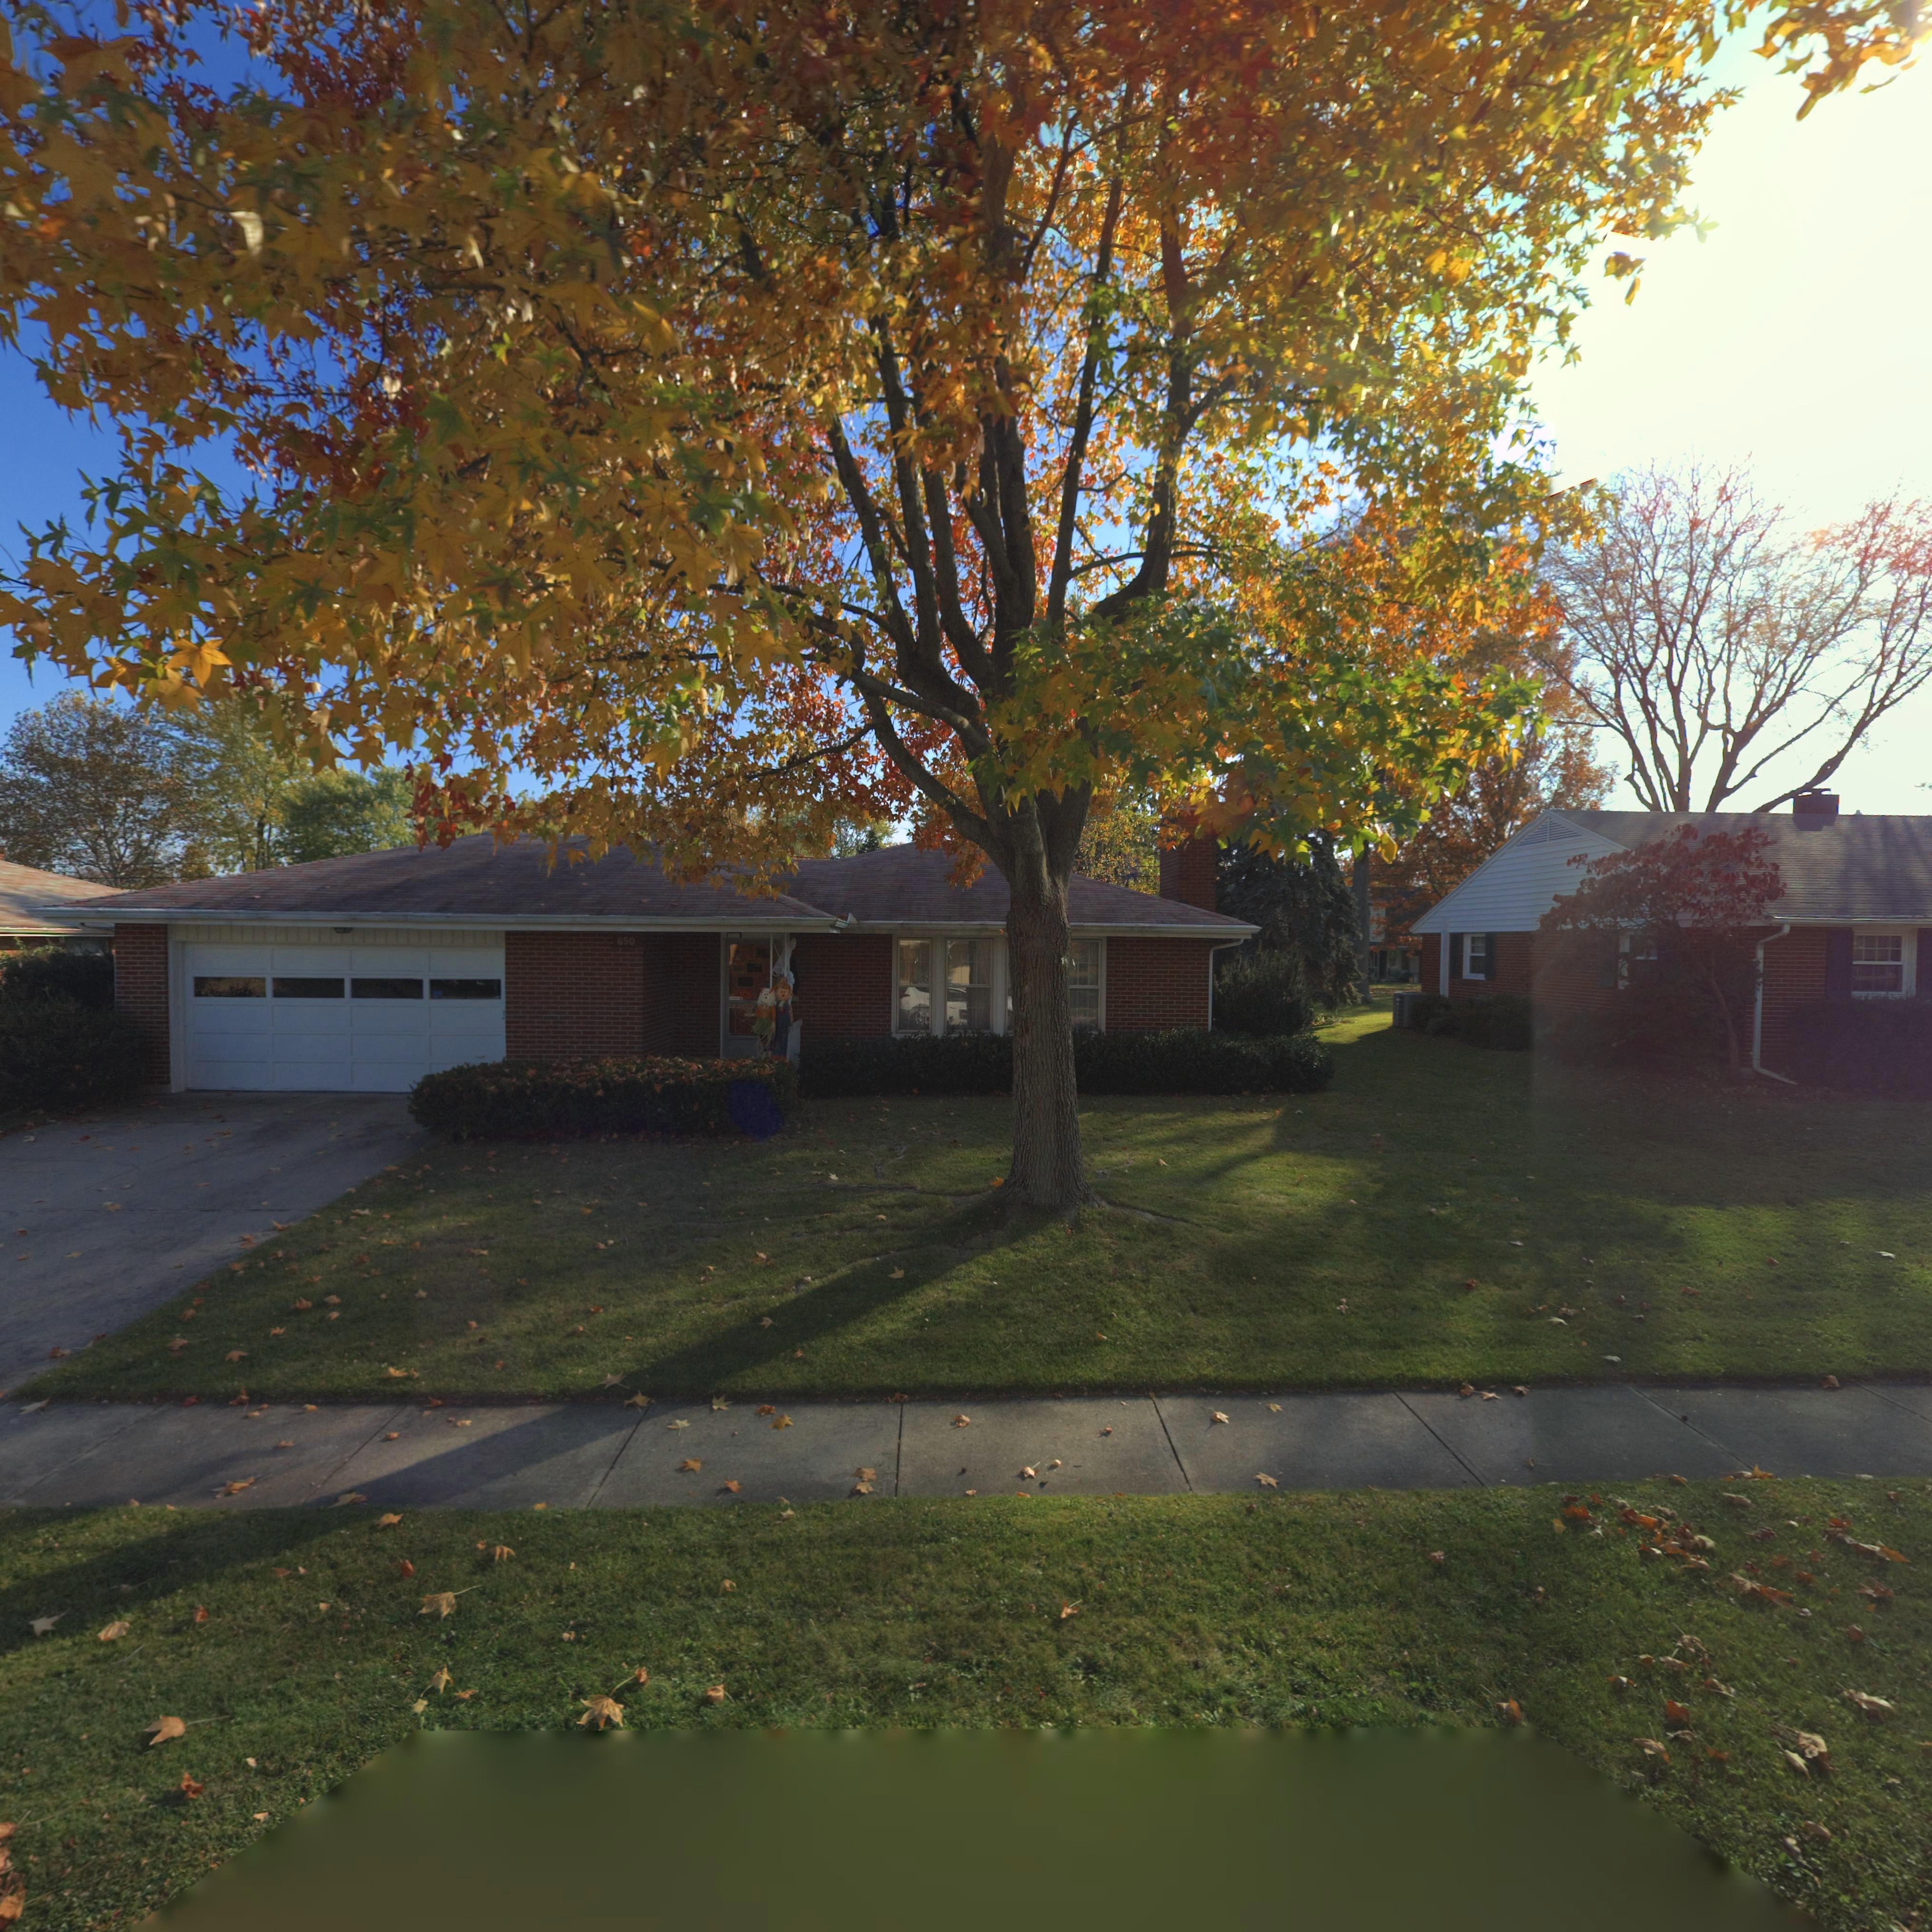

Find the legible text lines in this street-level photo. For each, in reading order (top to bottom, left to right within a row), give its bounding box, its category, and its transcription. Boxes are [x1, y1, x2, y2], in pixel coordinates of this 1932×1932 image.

[617, 936, 635, 945] StreetNumber: 650